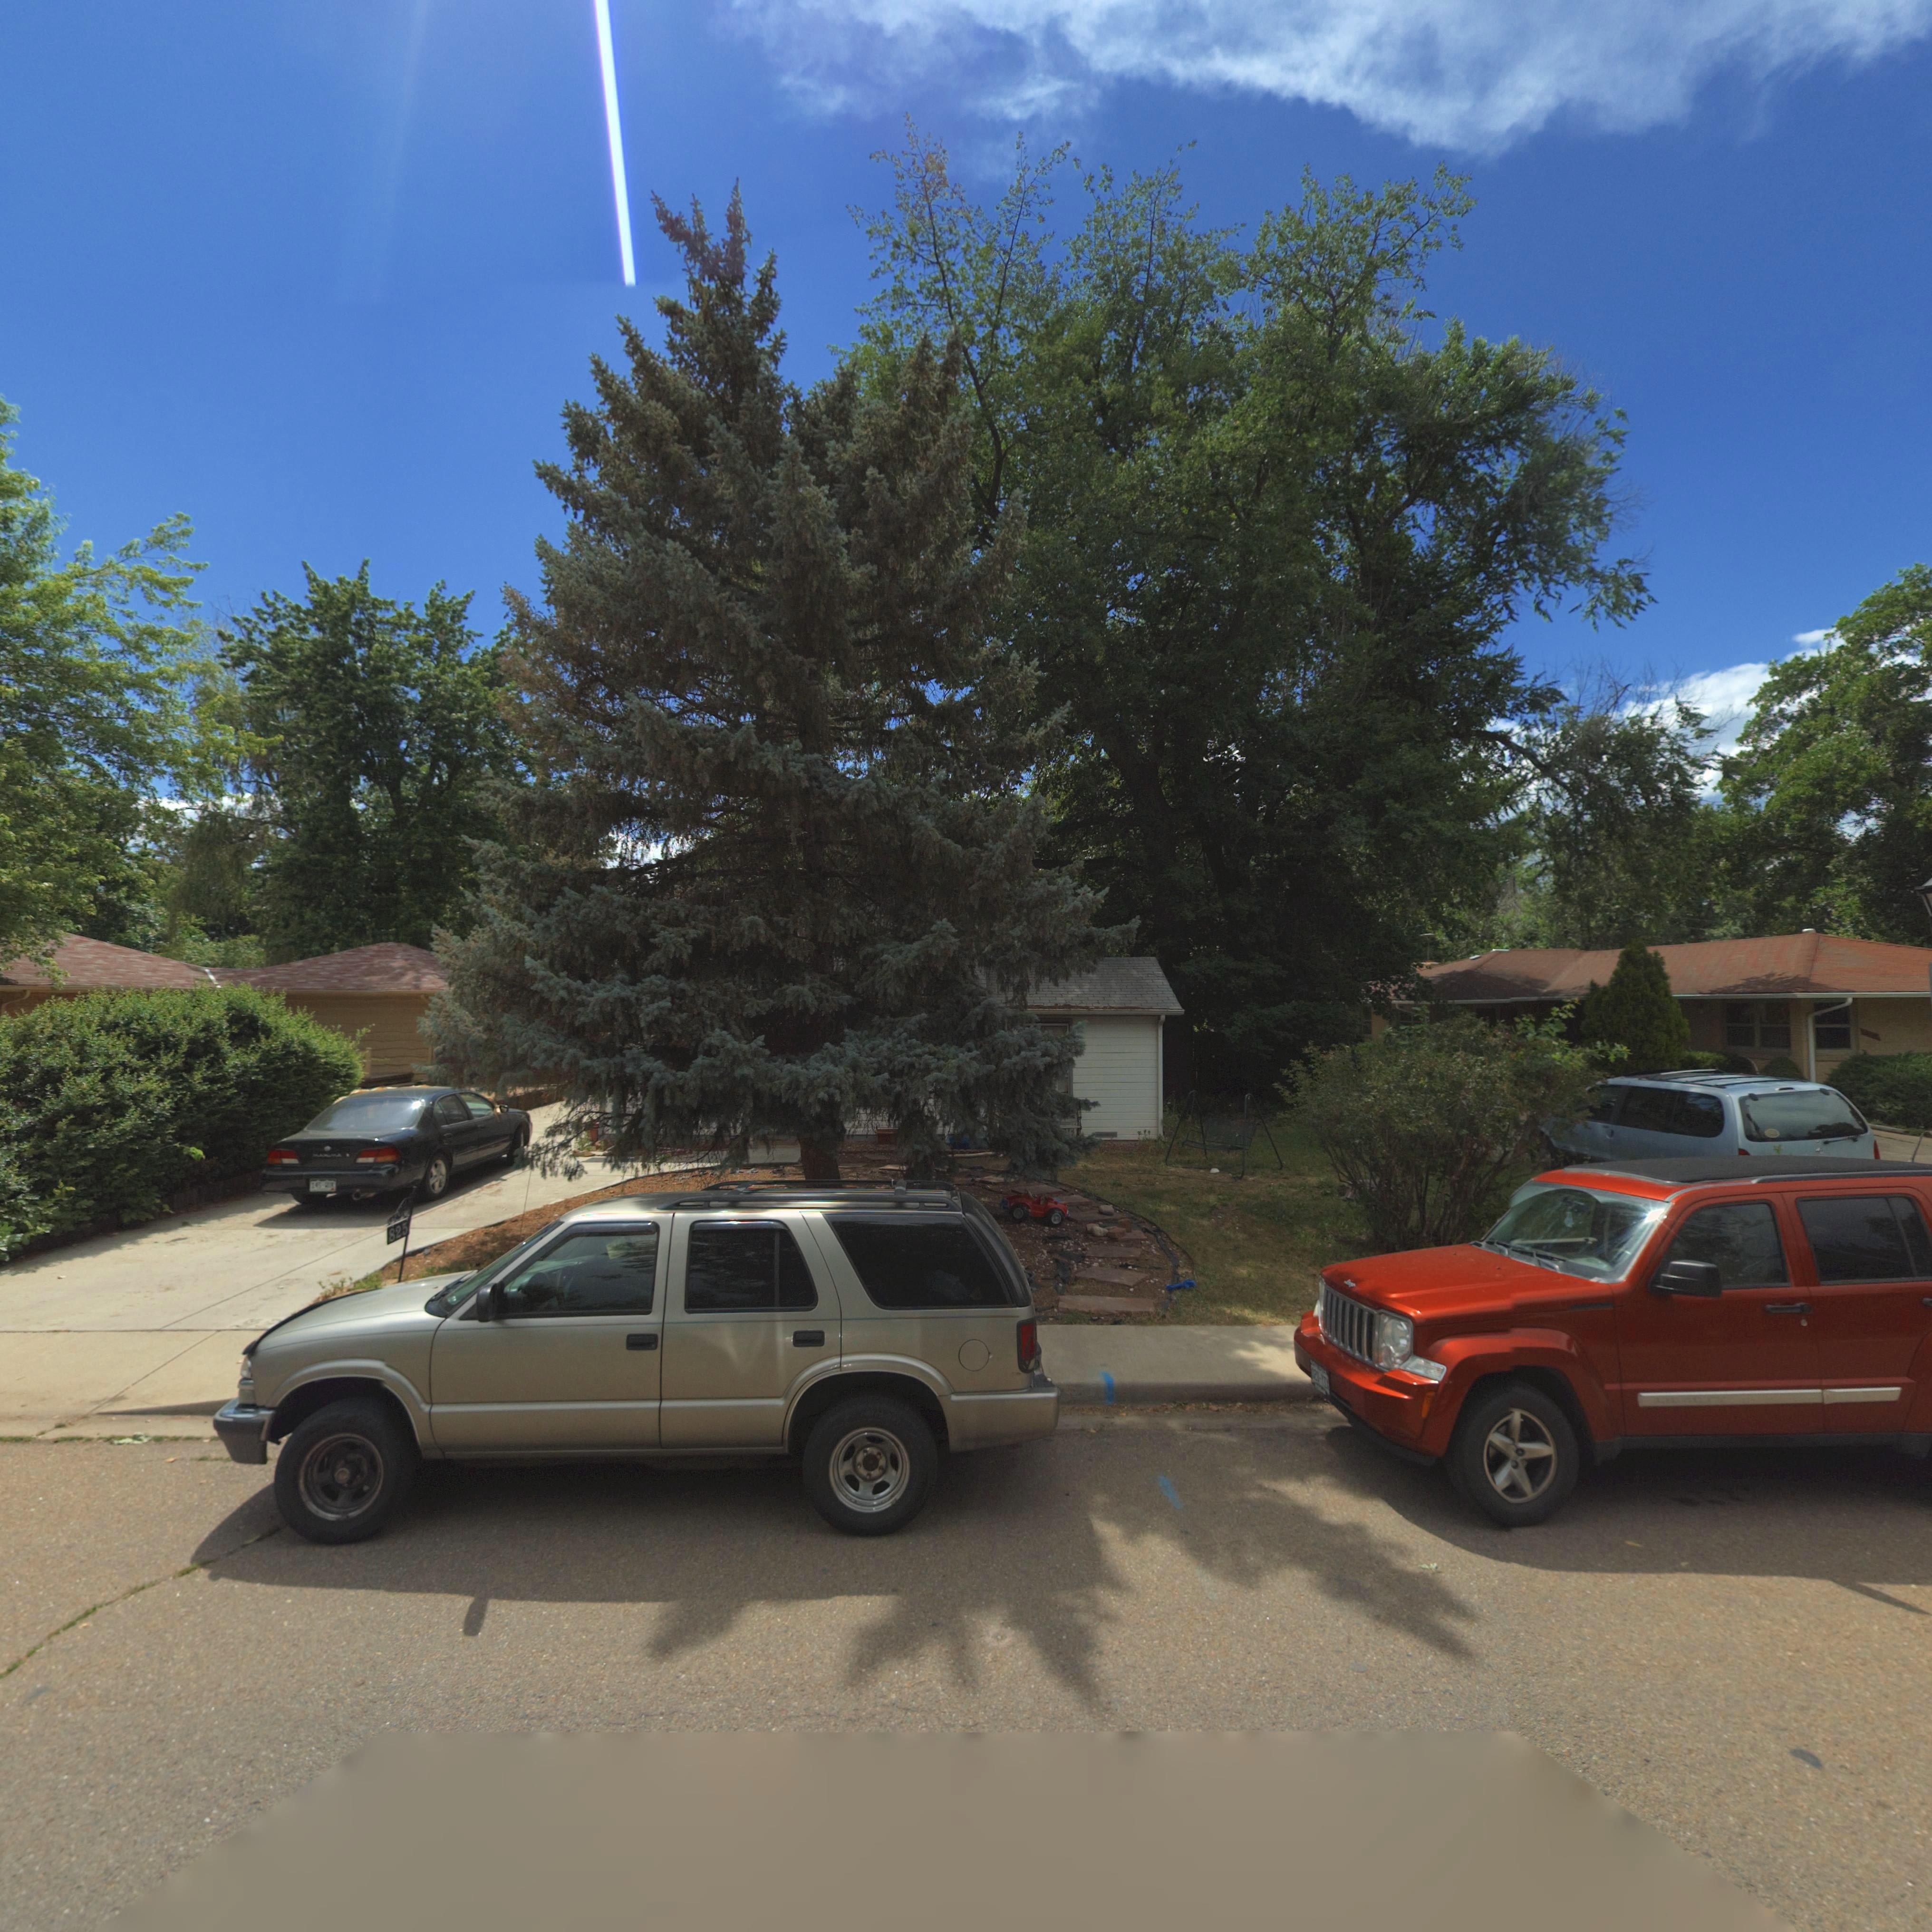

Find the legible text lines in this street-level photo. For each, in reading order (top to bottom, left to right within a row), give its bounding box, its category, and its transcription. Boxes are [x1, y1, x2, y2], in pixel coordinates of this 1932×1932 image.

[387, 1221, 408, 1243] StreetNumber: 825